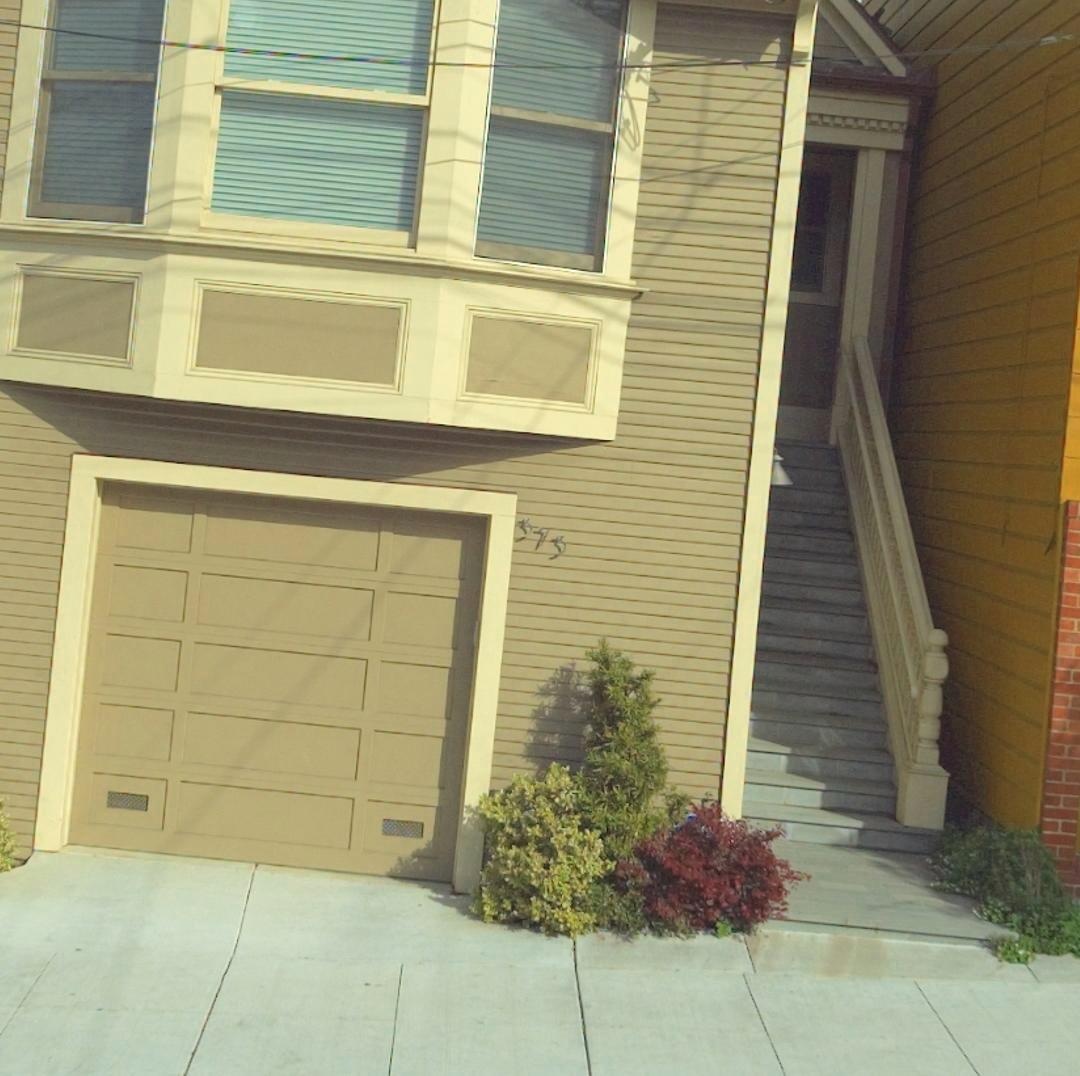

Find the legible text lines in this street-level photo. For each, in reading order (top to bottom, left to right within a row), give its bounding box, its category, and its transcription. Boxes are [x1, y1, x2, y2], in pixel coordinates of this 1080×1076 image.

[519, 513, 567, 557] StreetNumber: 373